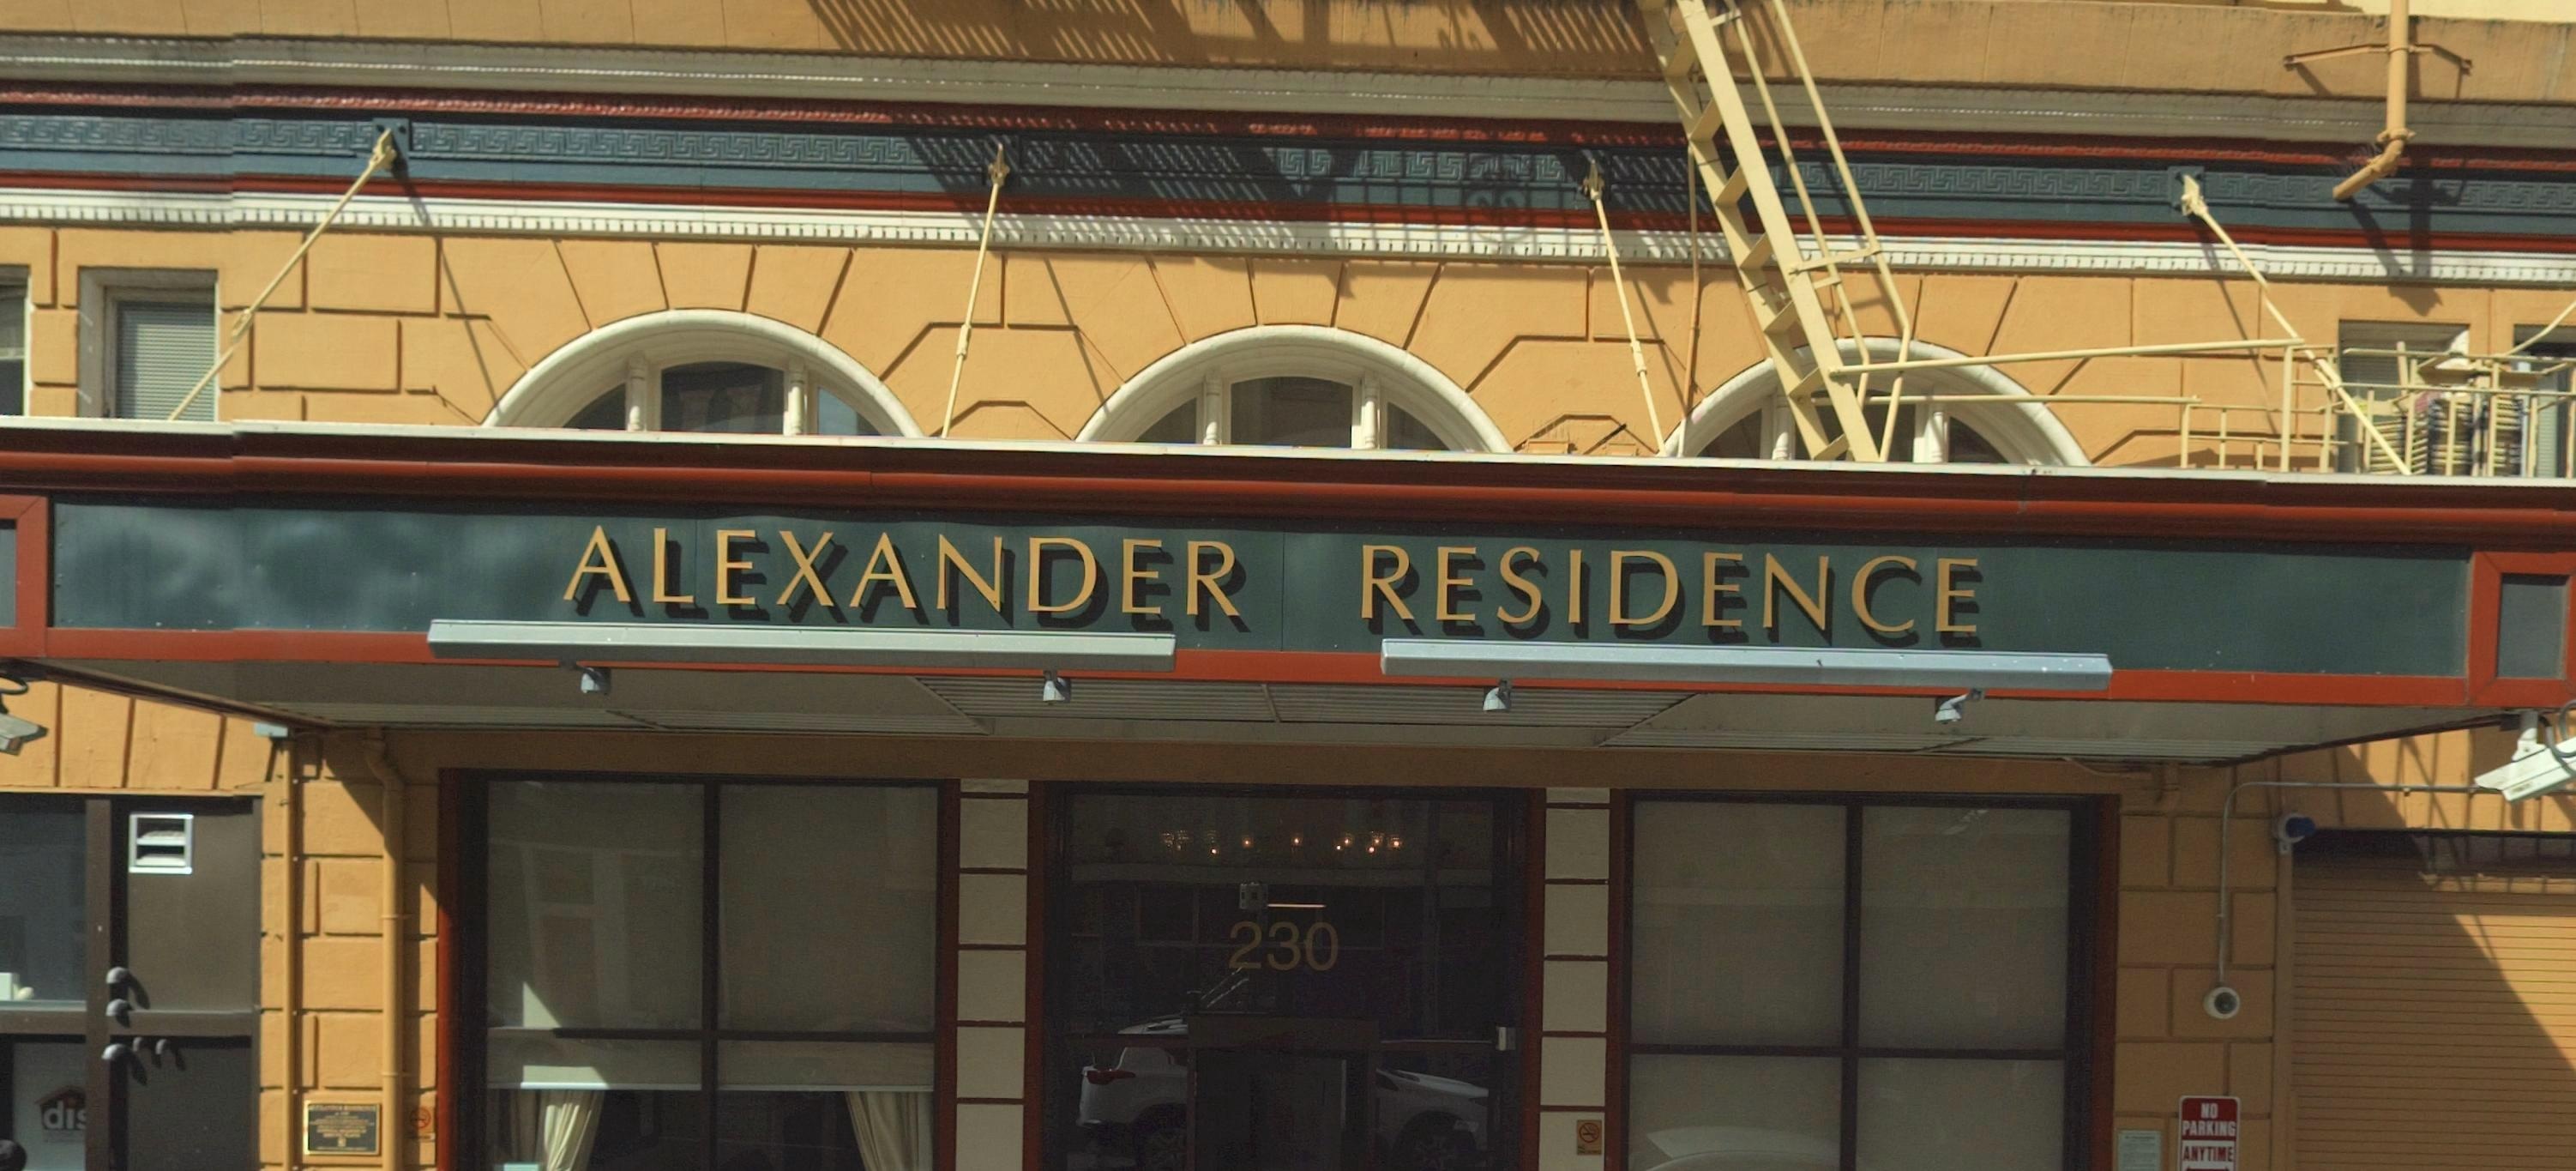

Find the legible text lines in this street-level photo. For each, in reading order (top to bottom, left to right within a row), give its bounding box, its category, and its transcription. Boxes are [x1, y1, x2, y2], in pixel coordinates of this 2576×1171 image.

[555, 522, 1982, 637] BusinessName: ALEXANDER RESIDENCE
[1223, 917, 1343, 975] StreetNumber: 230
[39, 1094, 79, 1132] None: di
[2199, 1099, 2219, 1120] None: NO
[2180, 1119, 2238, 1138] None: PARKING
[2180, 1142, 2236, 1165] None: ANYTIME